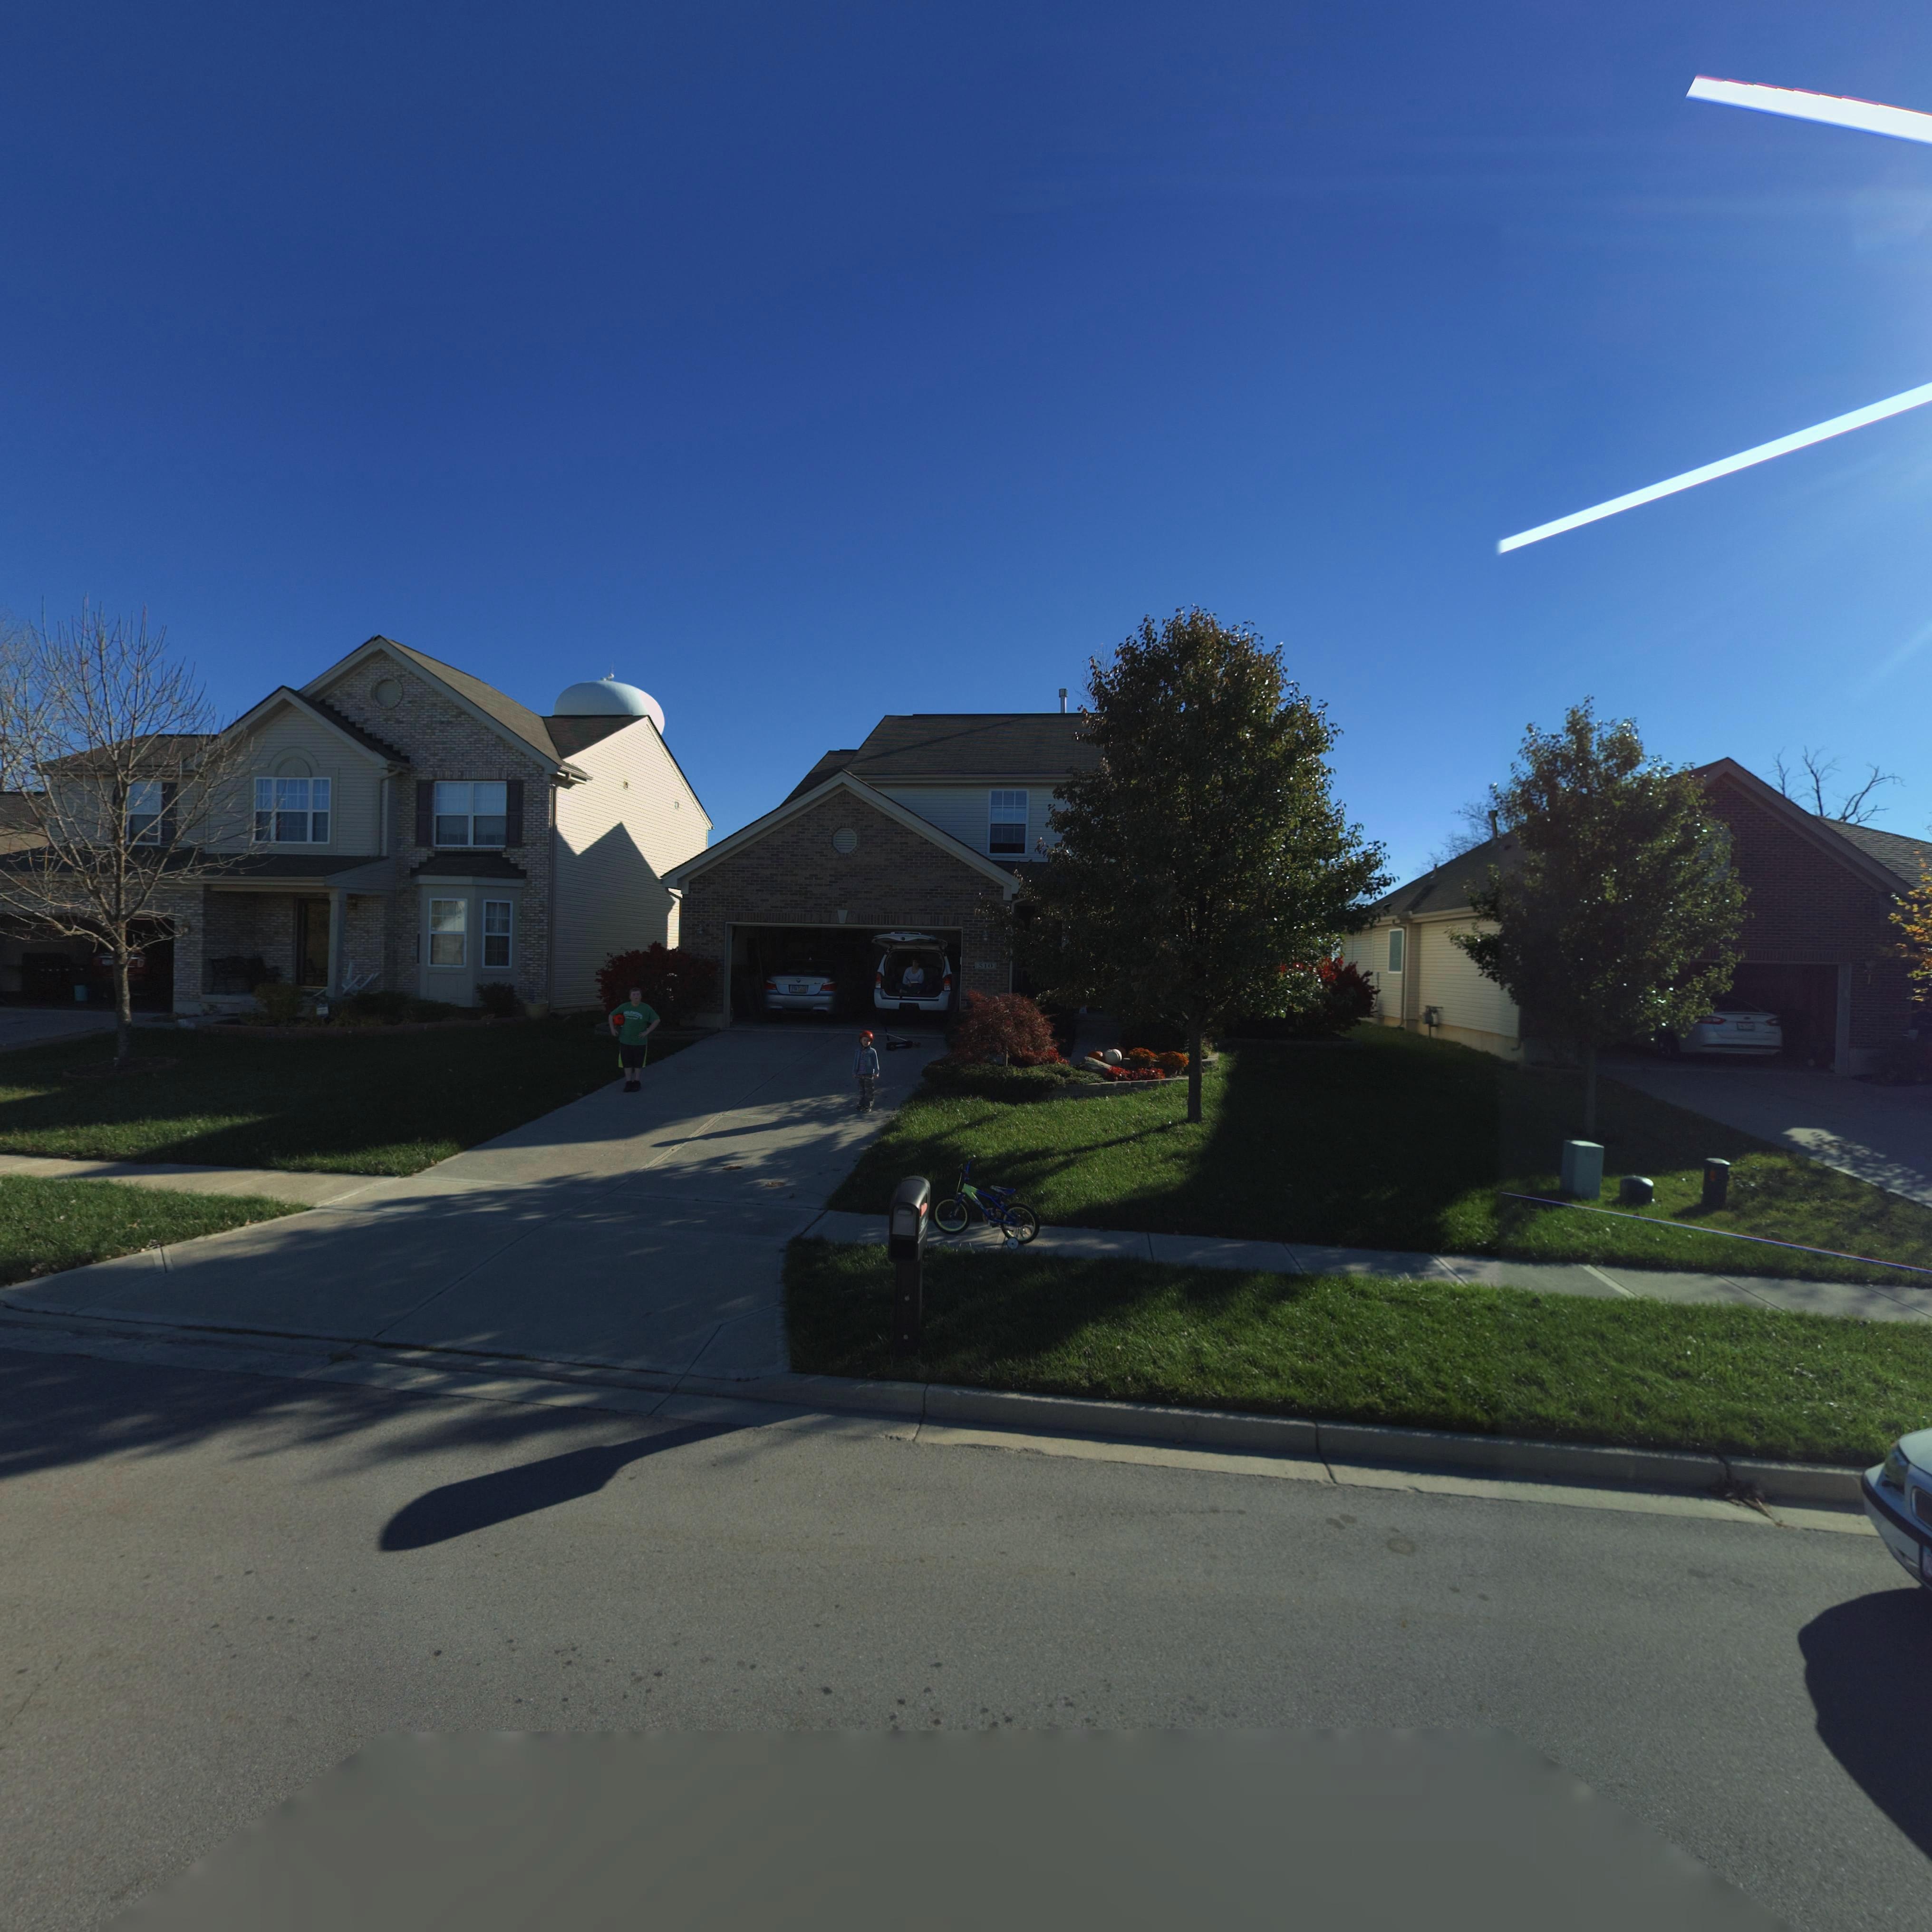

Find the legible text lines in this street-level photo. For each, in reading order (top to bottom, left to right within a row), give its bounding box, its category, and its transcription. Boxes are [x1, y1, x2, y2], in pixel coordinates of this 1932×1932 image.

[978, 962, 994, 969] StreetNumber: 510